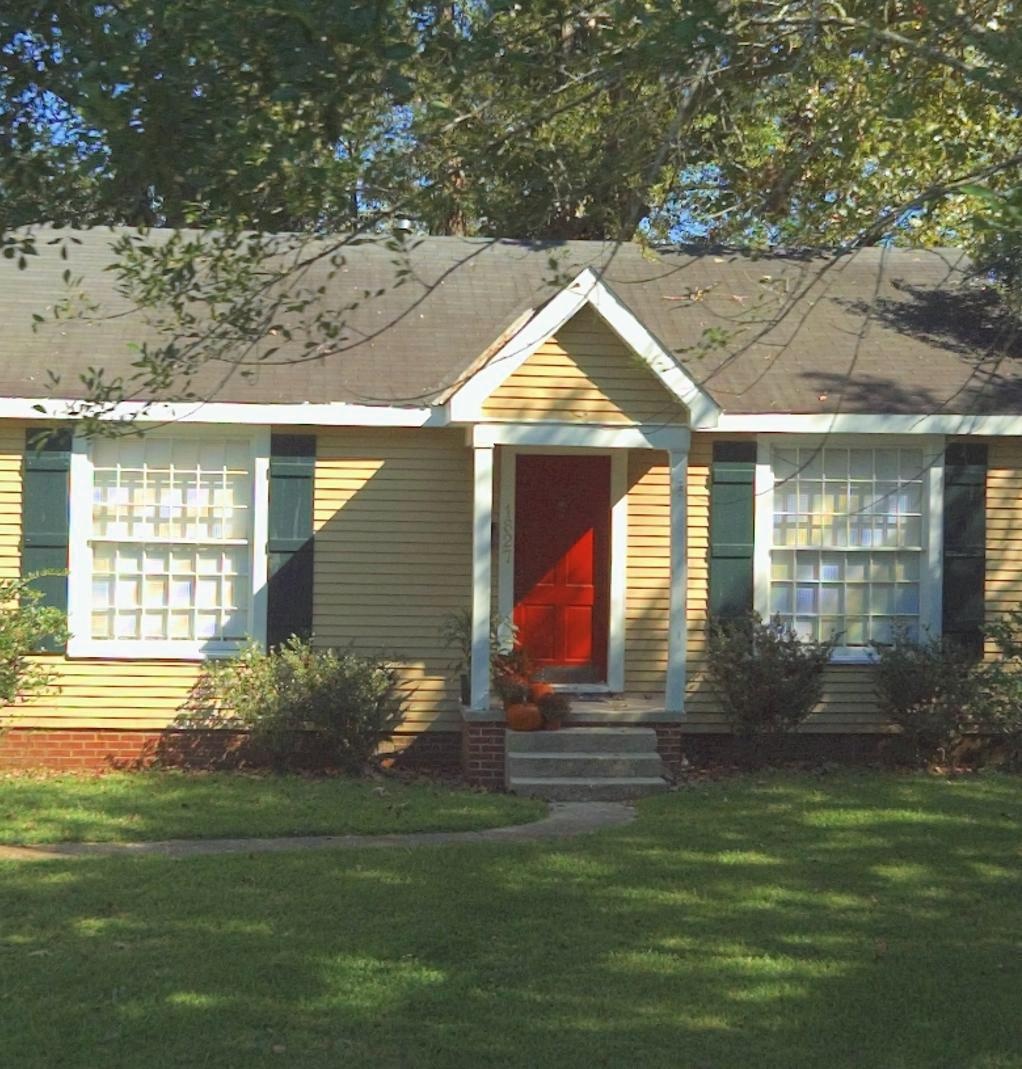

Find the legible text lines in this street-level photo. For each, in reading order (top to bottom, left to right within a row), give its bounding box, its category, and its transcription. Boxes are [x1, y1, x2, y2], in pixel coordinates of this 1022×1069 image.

[501, 503, 514, 565] StreetNumber: 1827